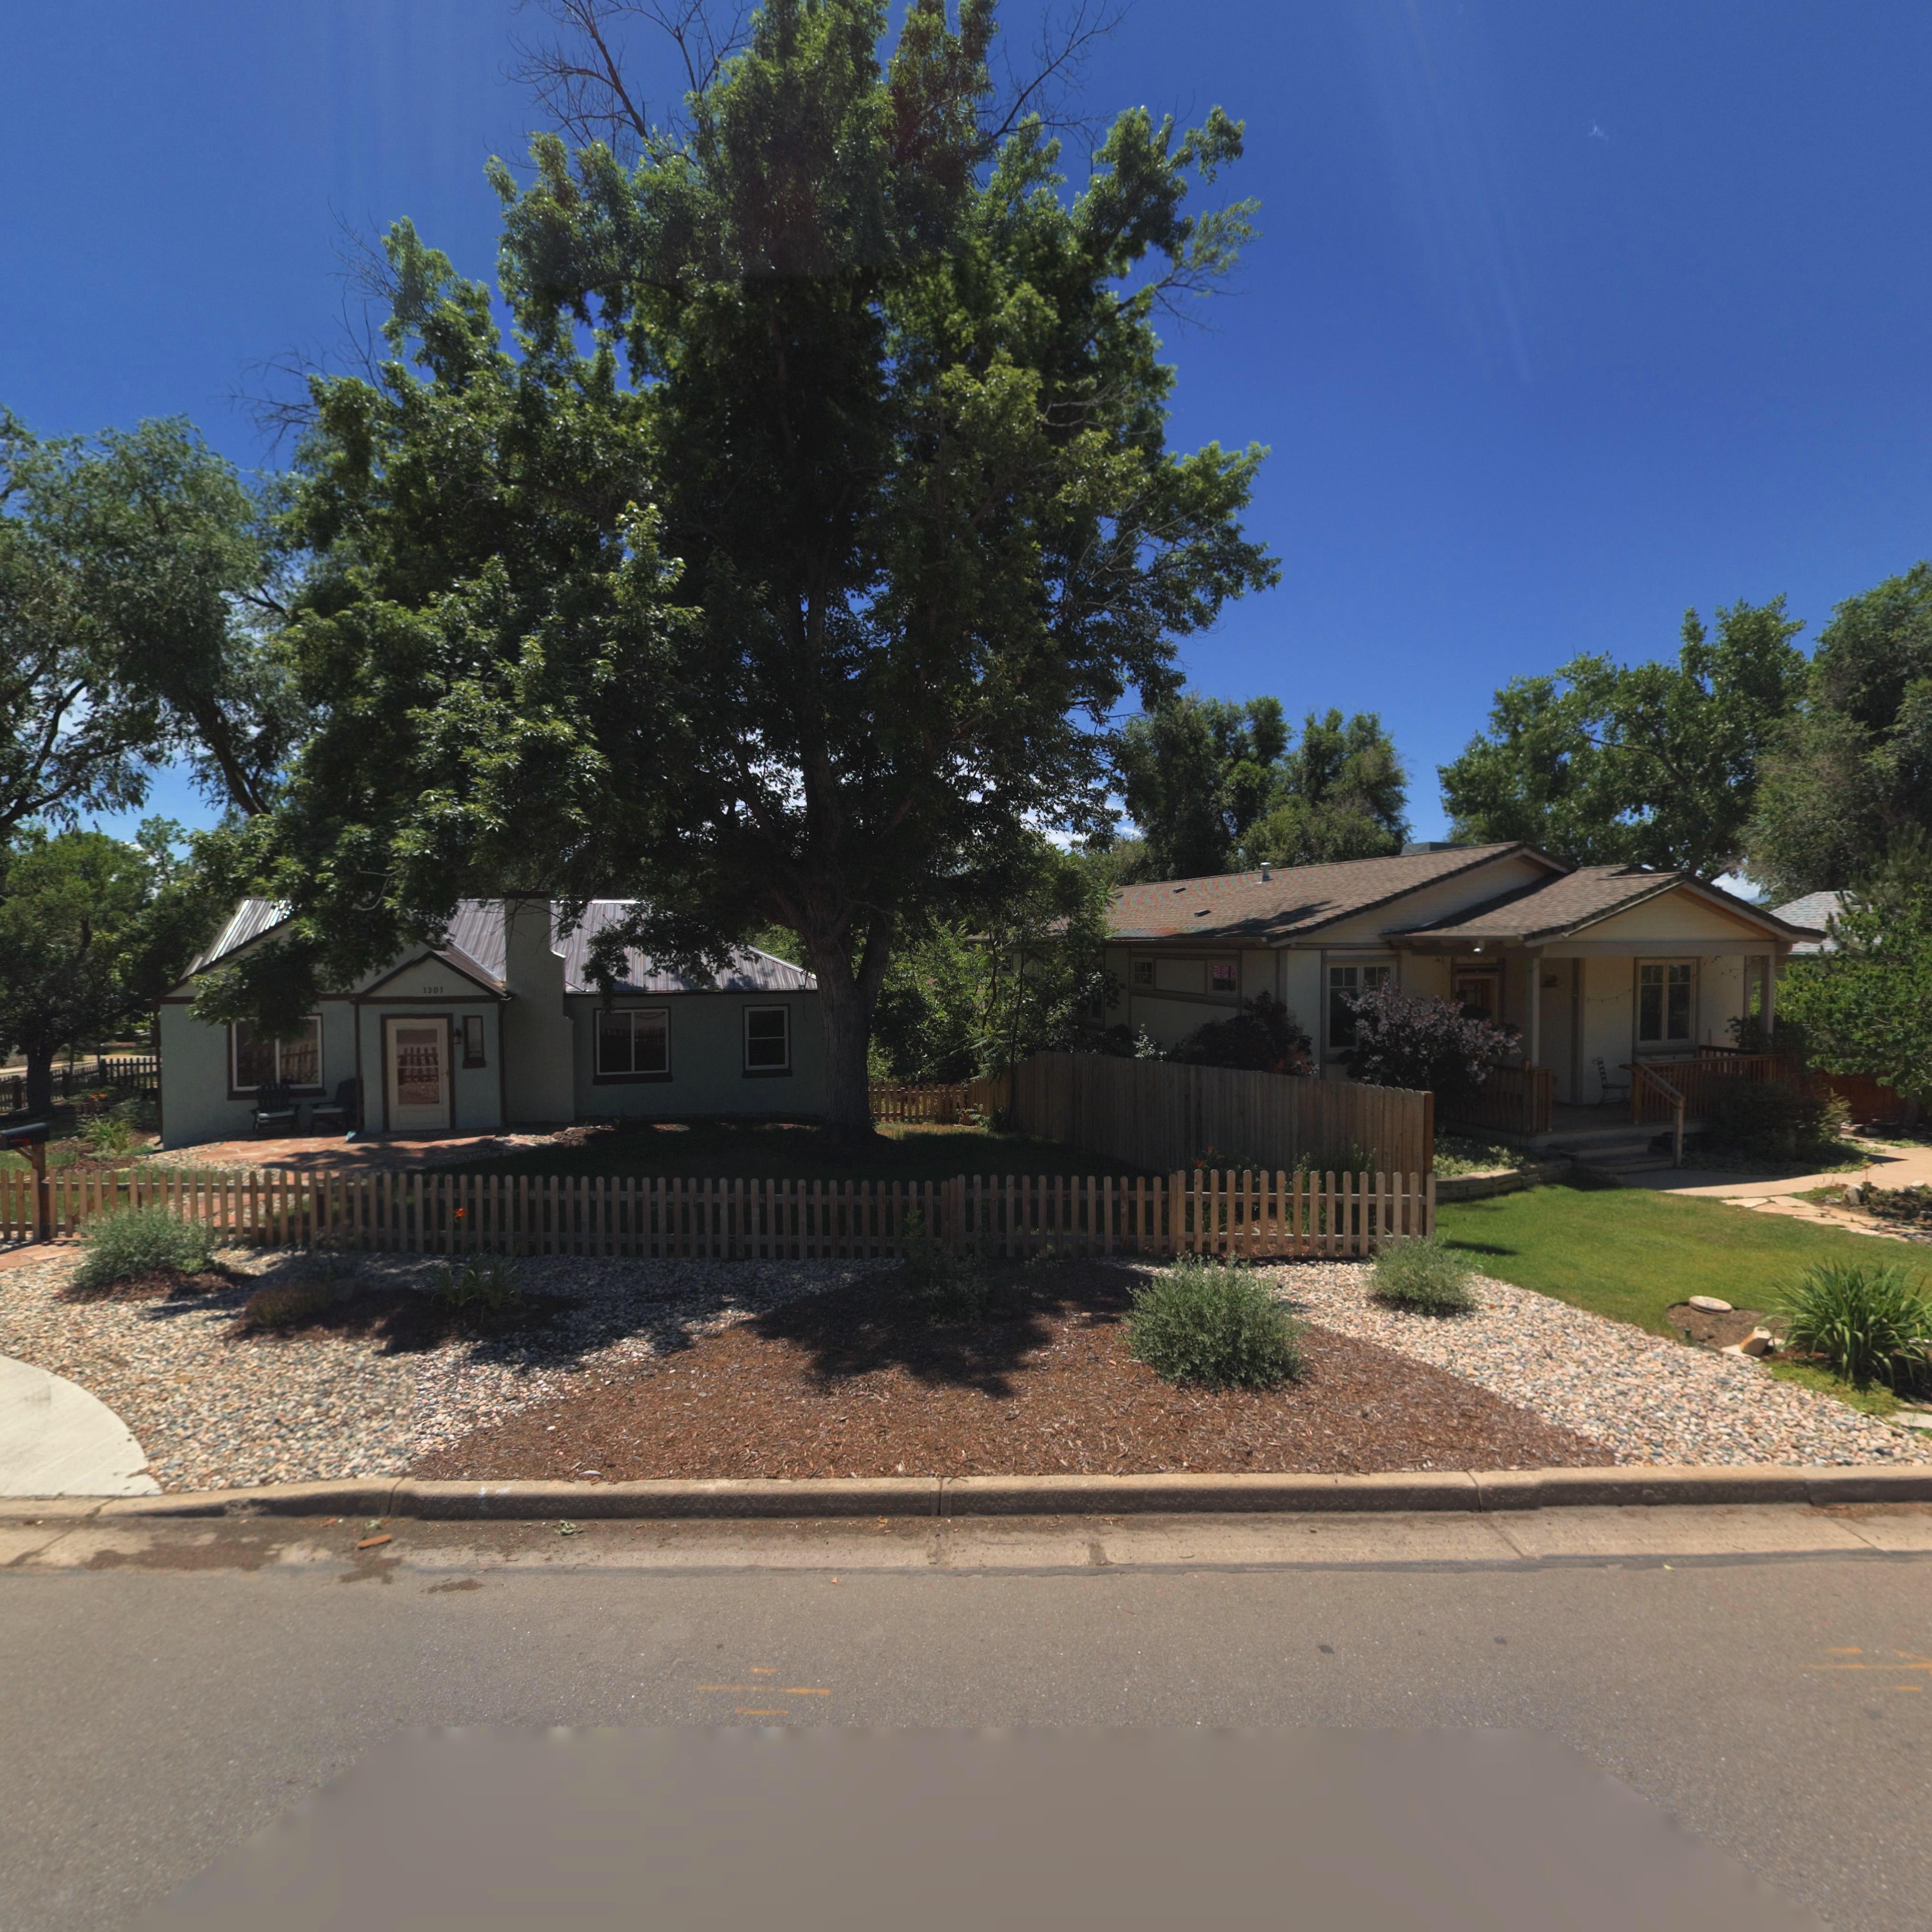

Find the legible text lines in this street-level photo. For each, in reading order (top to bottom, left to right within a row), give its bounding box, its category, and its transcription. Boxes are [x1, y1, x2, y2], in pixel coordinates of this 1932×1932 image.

[423, 986, 442, 993] StreetNumber: 1301